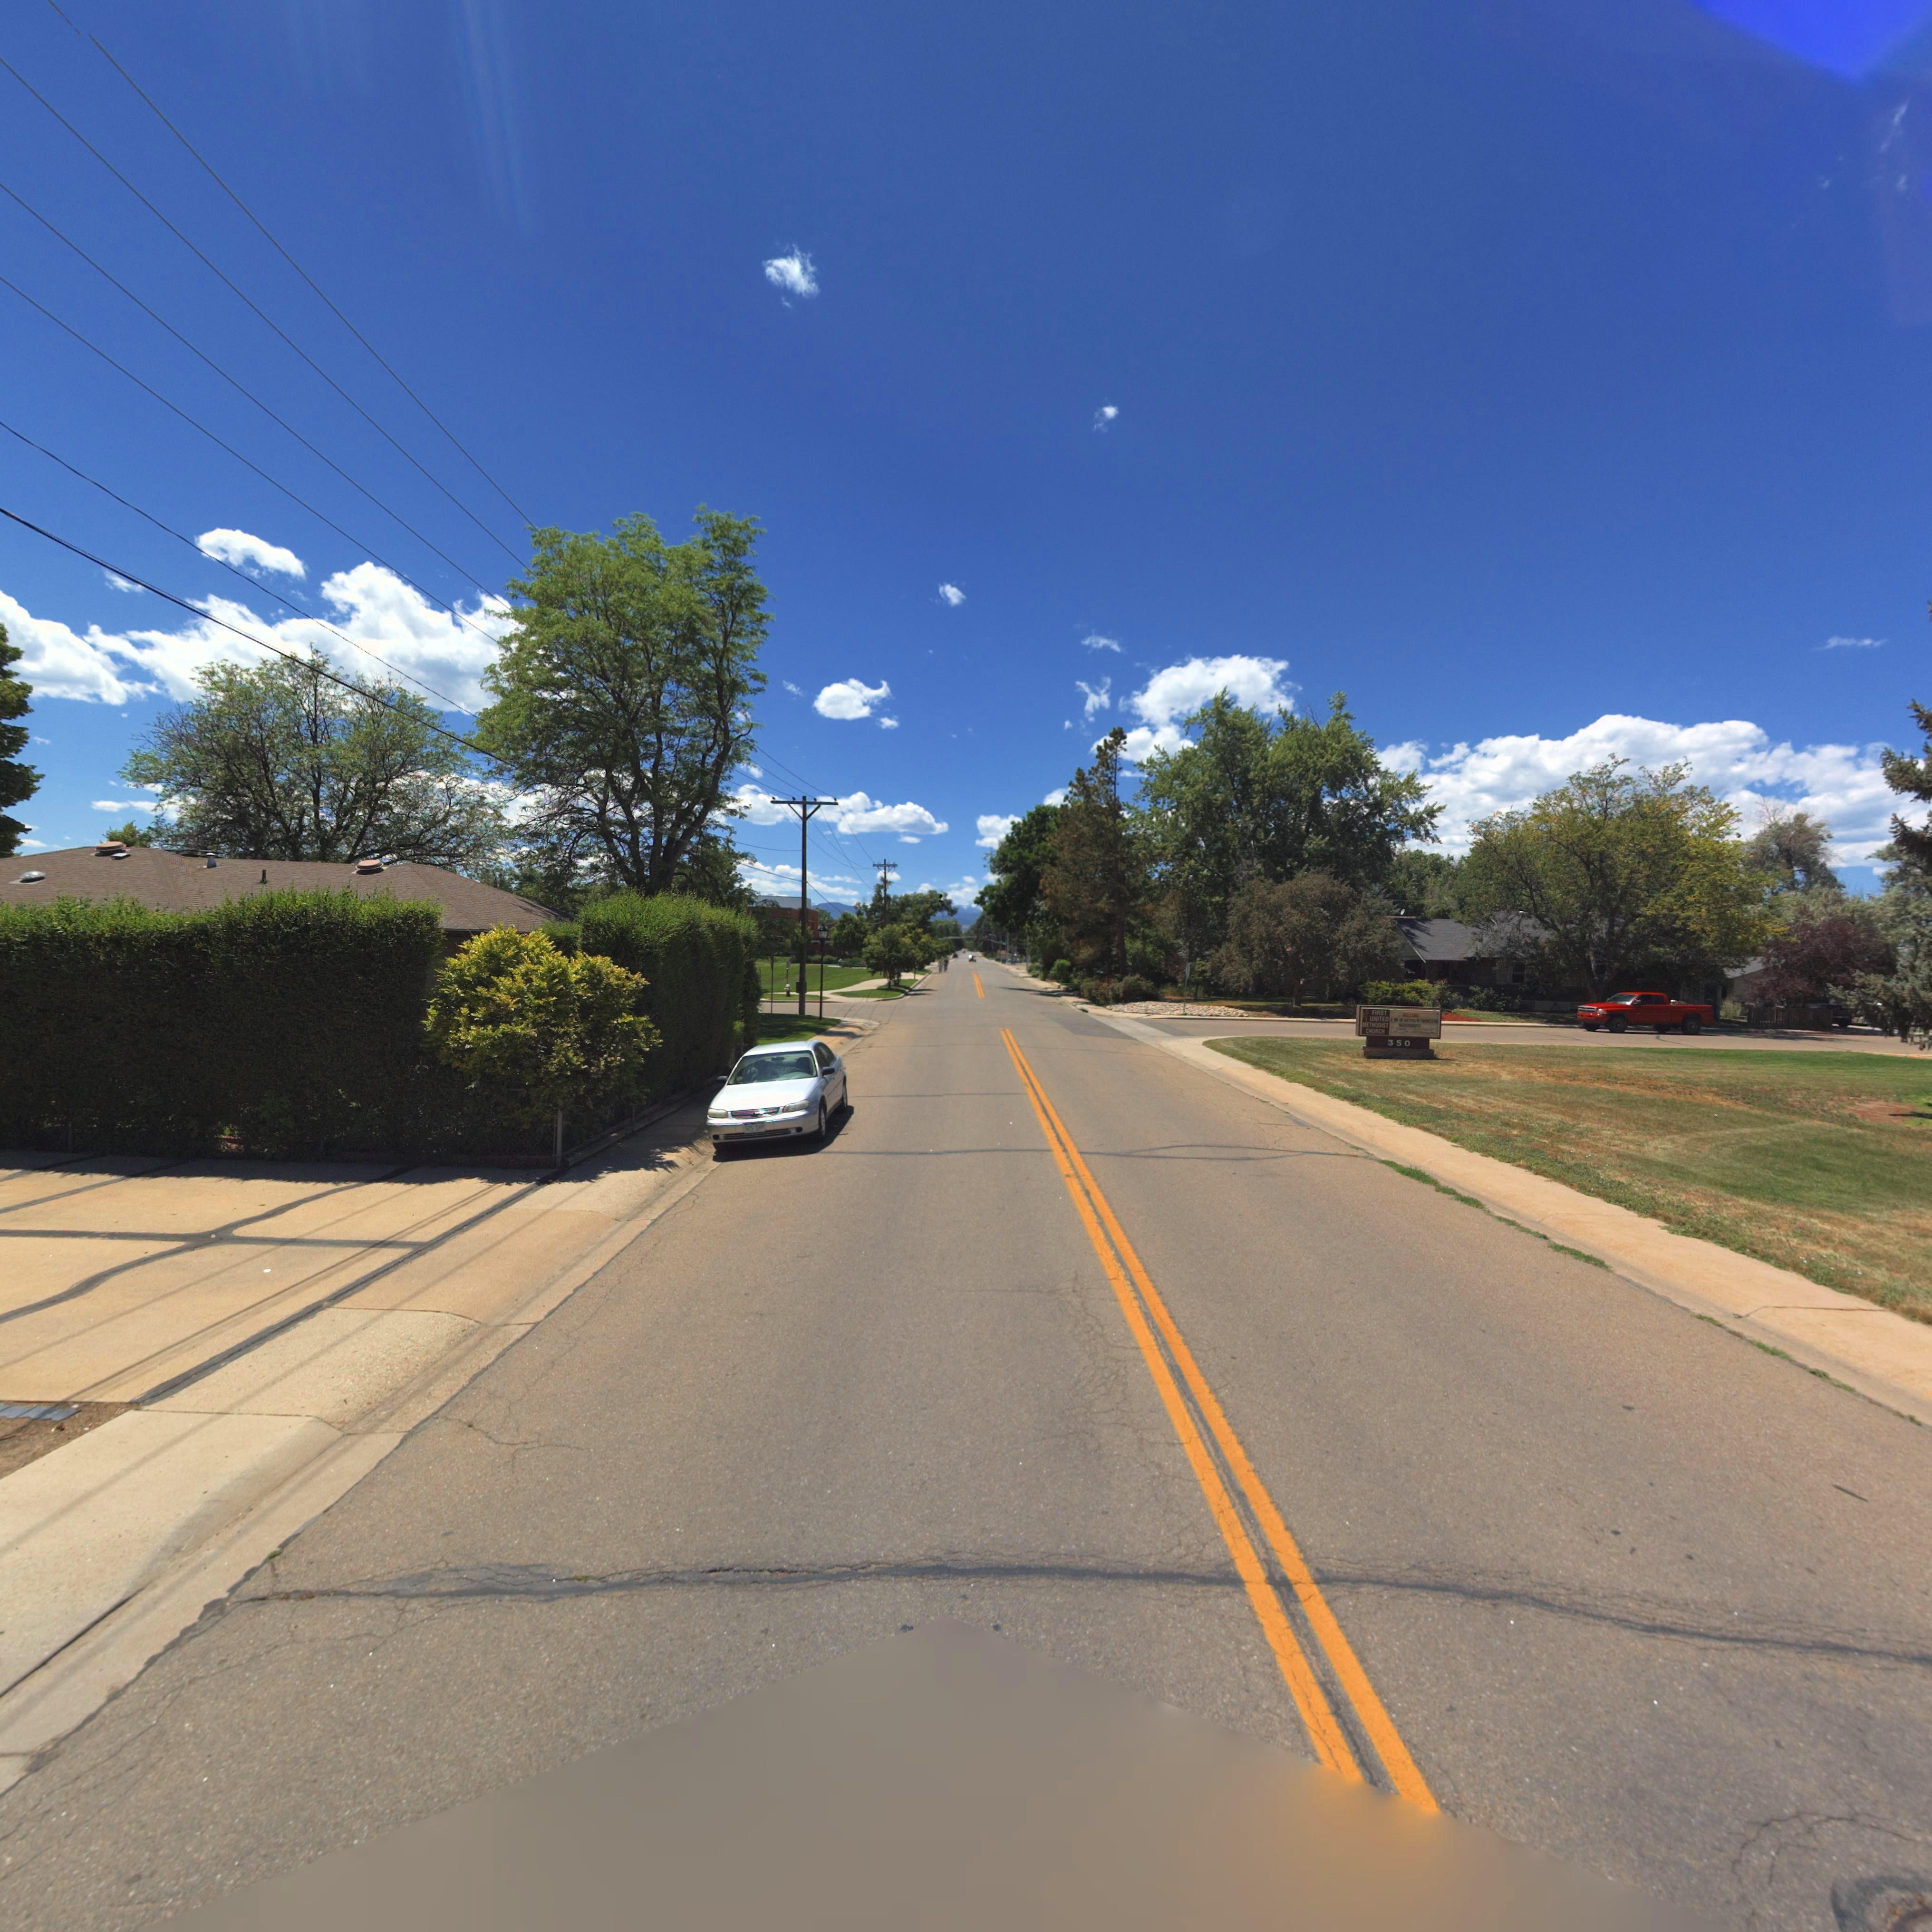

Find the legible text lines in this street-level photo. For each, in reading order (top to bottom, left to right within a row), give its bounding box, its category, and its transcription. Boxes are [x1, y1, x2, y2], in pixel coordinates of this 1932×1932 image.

[1372, 1010, 1387, 1015] BusinessName: FIRST
[1370, 1016, 1388, 1022] BusinessName: UNITED
[1362, 1022, 1388, 1028] BusinessName: METHODIST
[1366, 1028, 1384, 1034] BusinessName: CHURCH
[1388, 1039, 1410, 1046] StreetNumber: 350